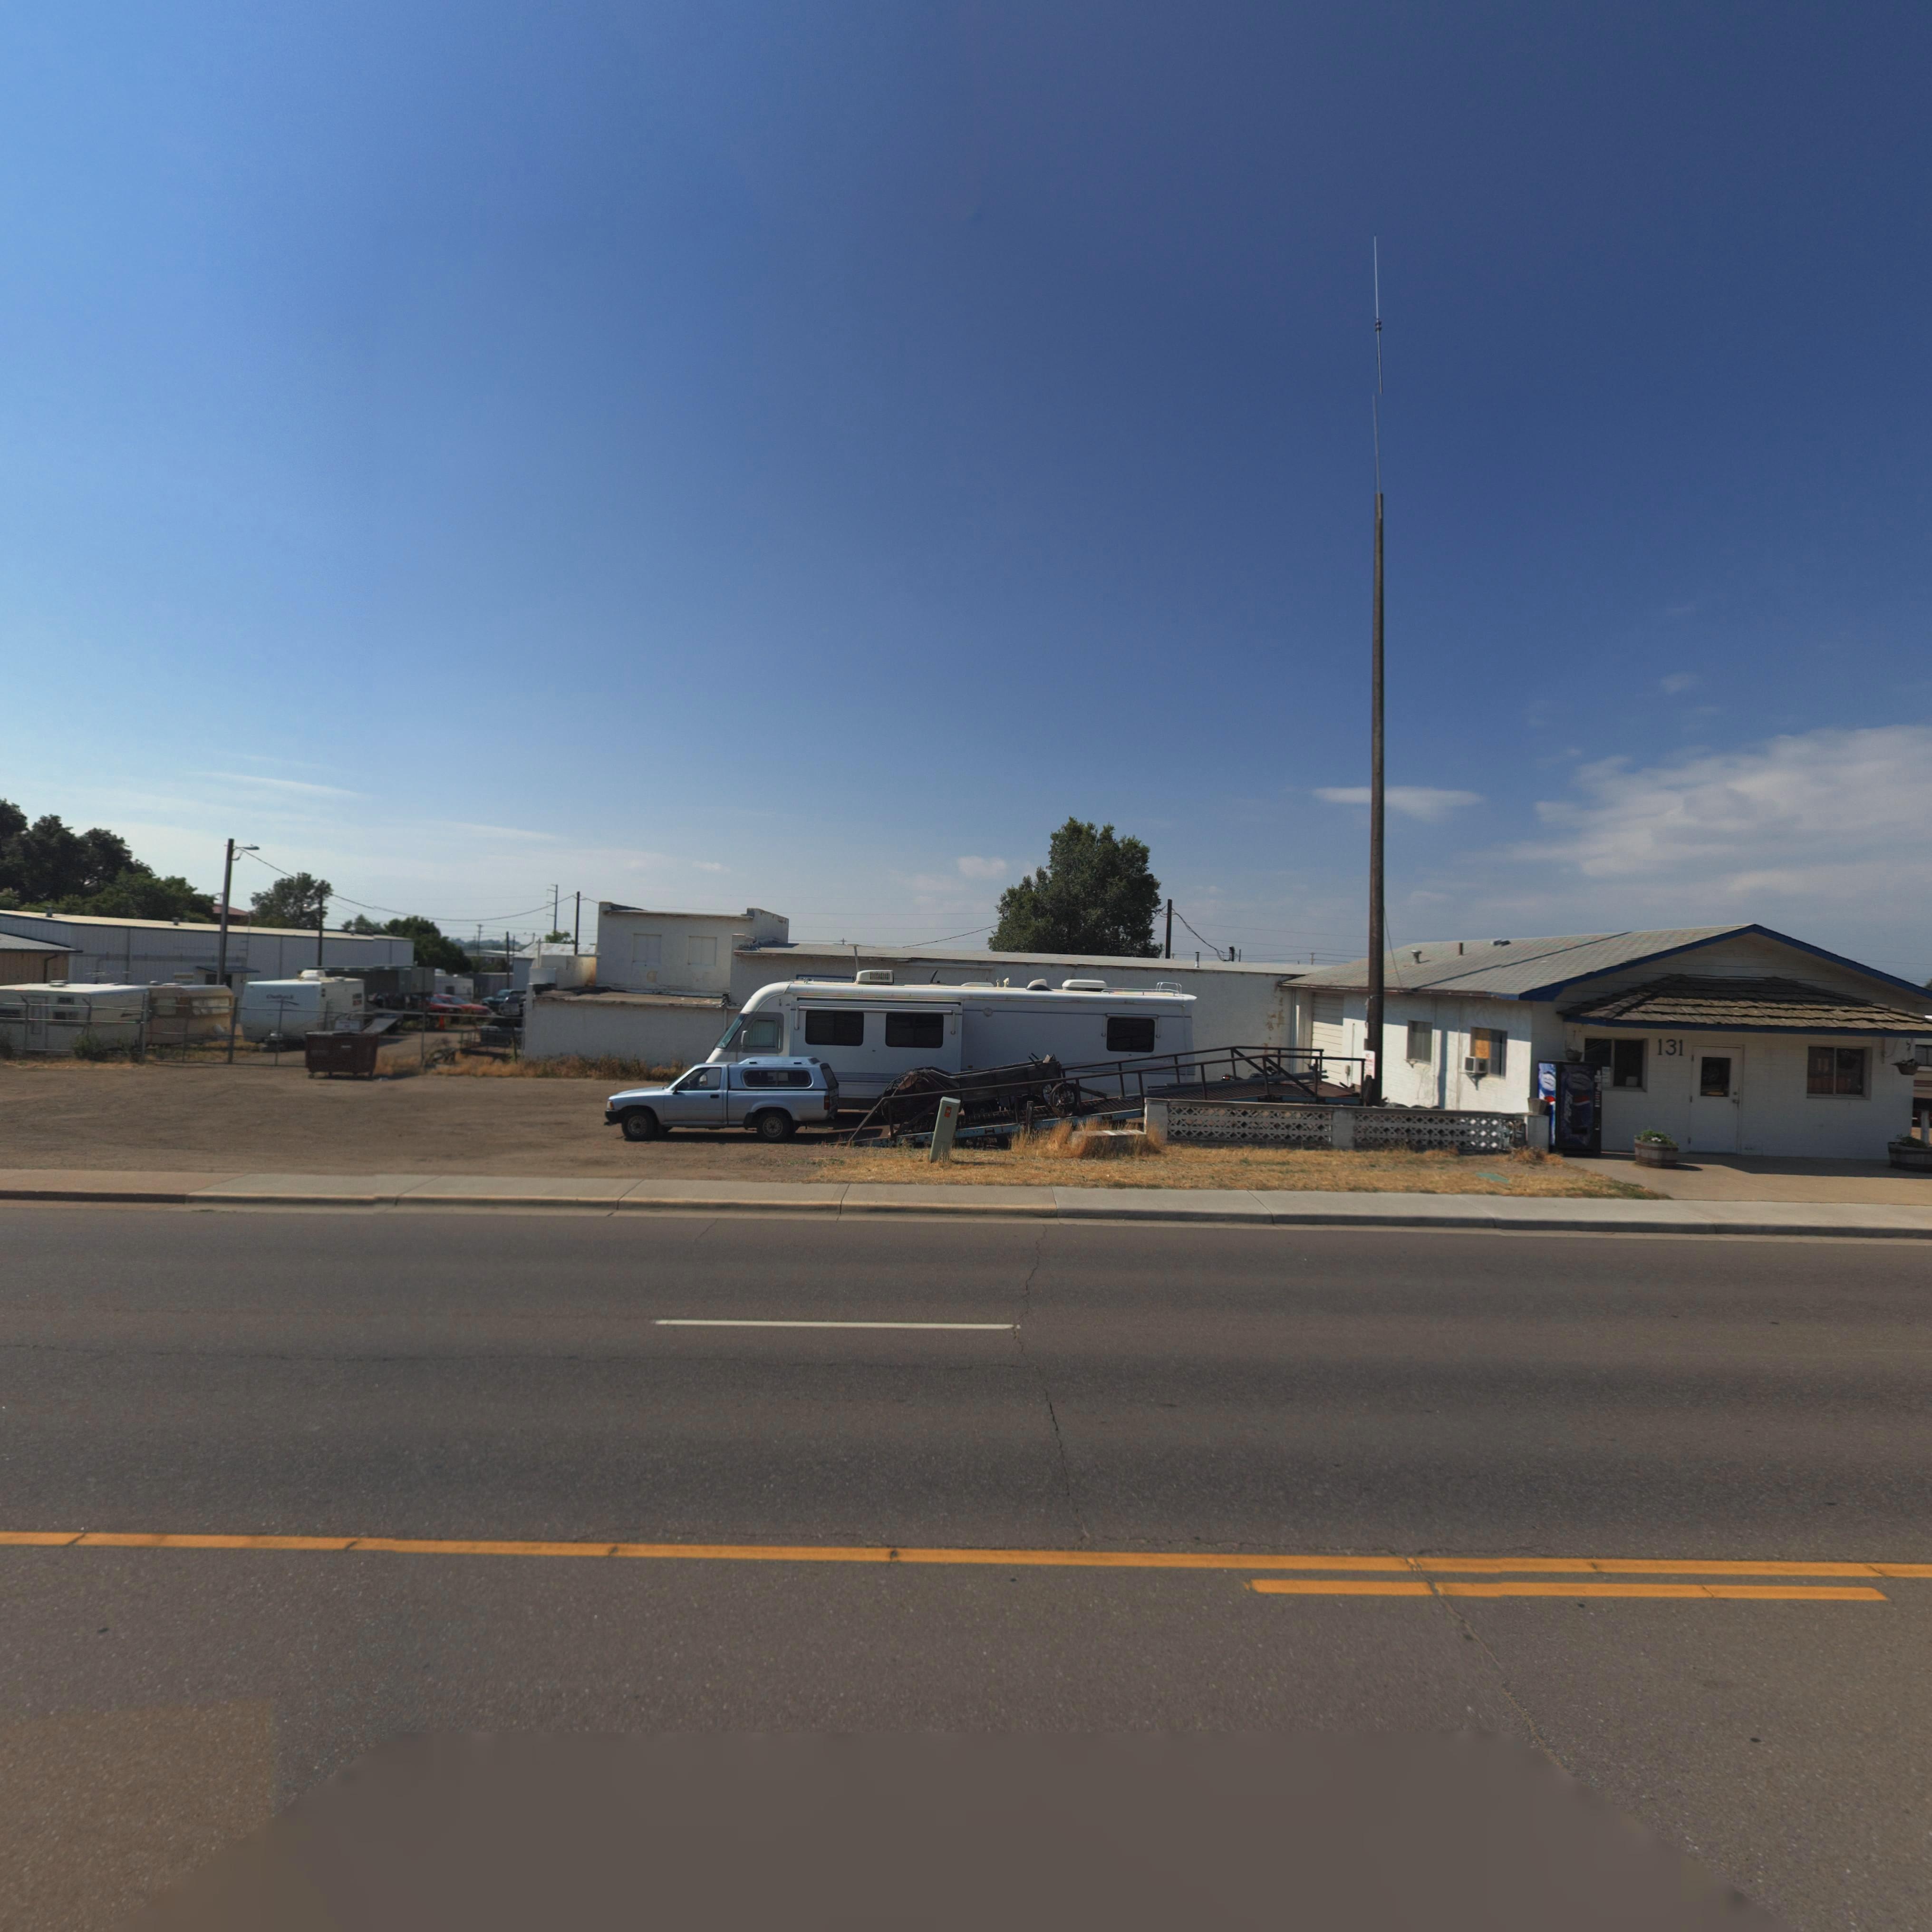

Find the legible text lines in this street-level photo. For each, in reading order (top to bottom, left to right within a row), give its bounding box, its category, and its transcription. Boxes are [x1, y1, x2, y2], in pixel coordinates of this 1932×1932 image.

[1656, 1037, 1683, 1057] StreetNumber: 131